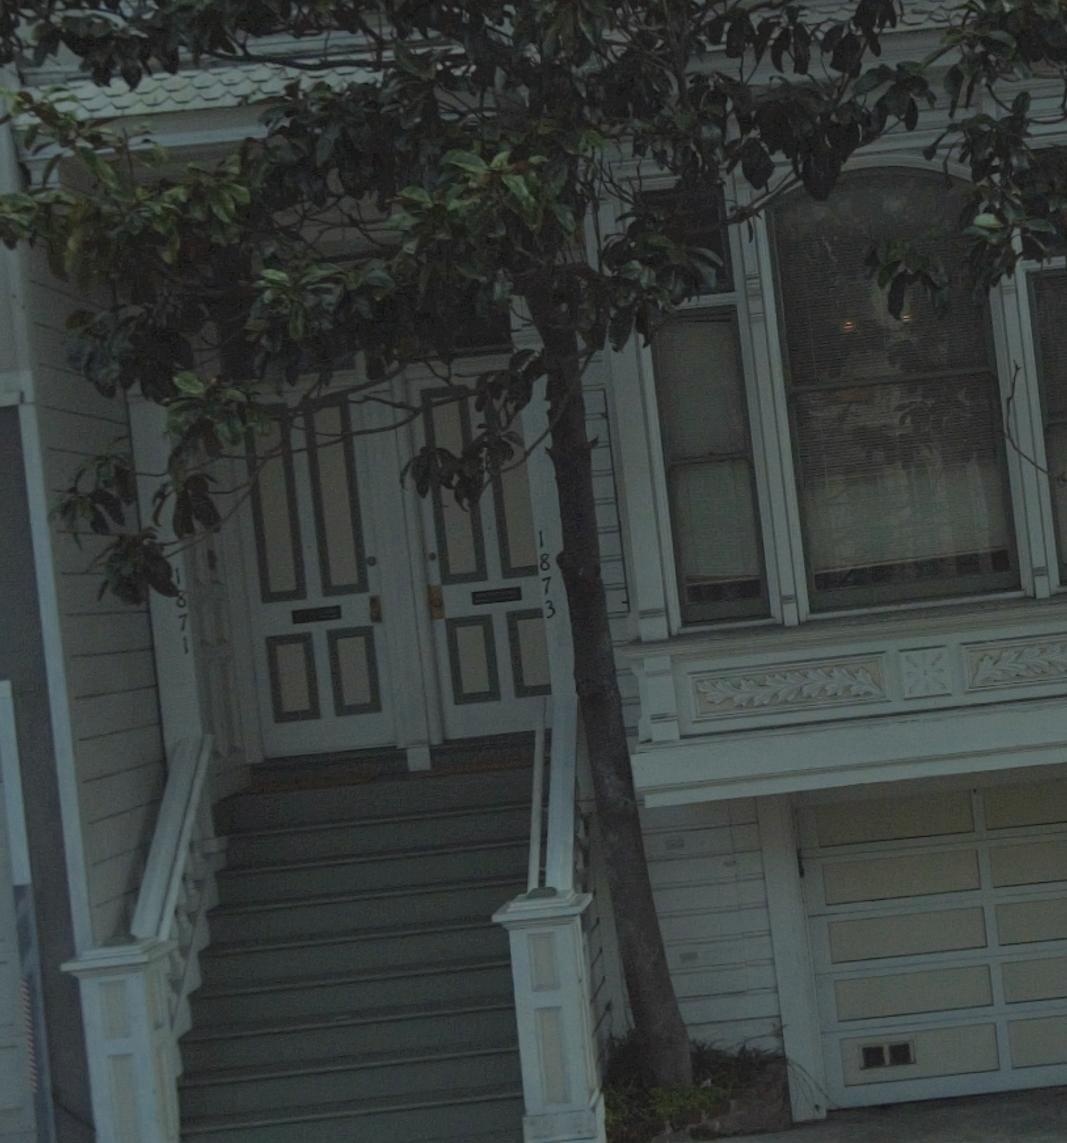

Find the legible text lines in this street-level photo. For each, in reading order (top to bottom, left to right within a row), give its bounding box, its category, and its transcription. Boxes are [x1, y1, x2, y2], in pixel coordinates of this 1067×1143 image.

[168, 560, 195, 659] StreetNumber: 1871
[532, 525, 560, 622] StreetNumber: 1873